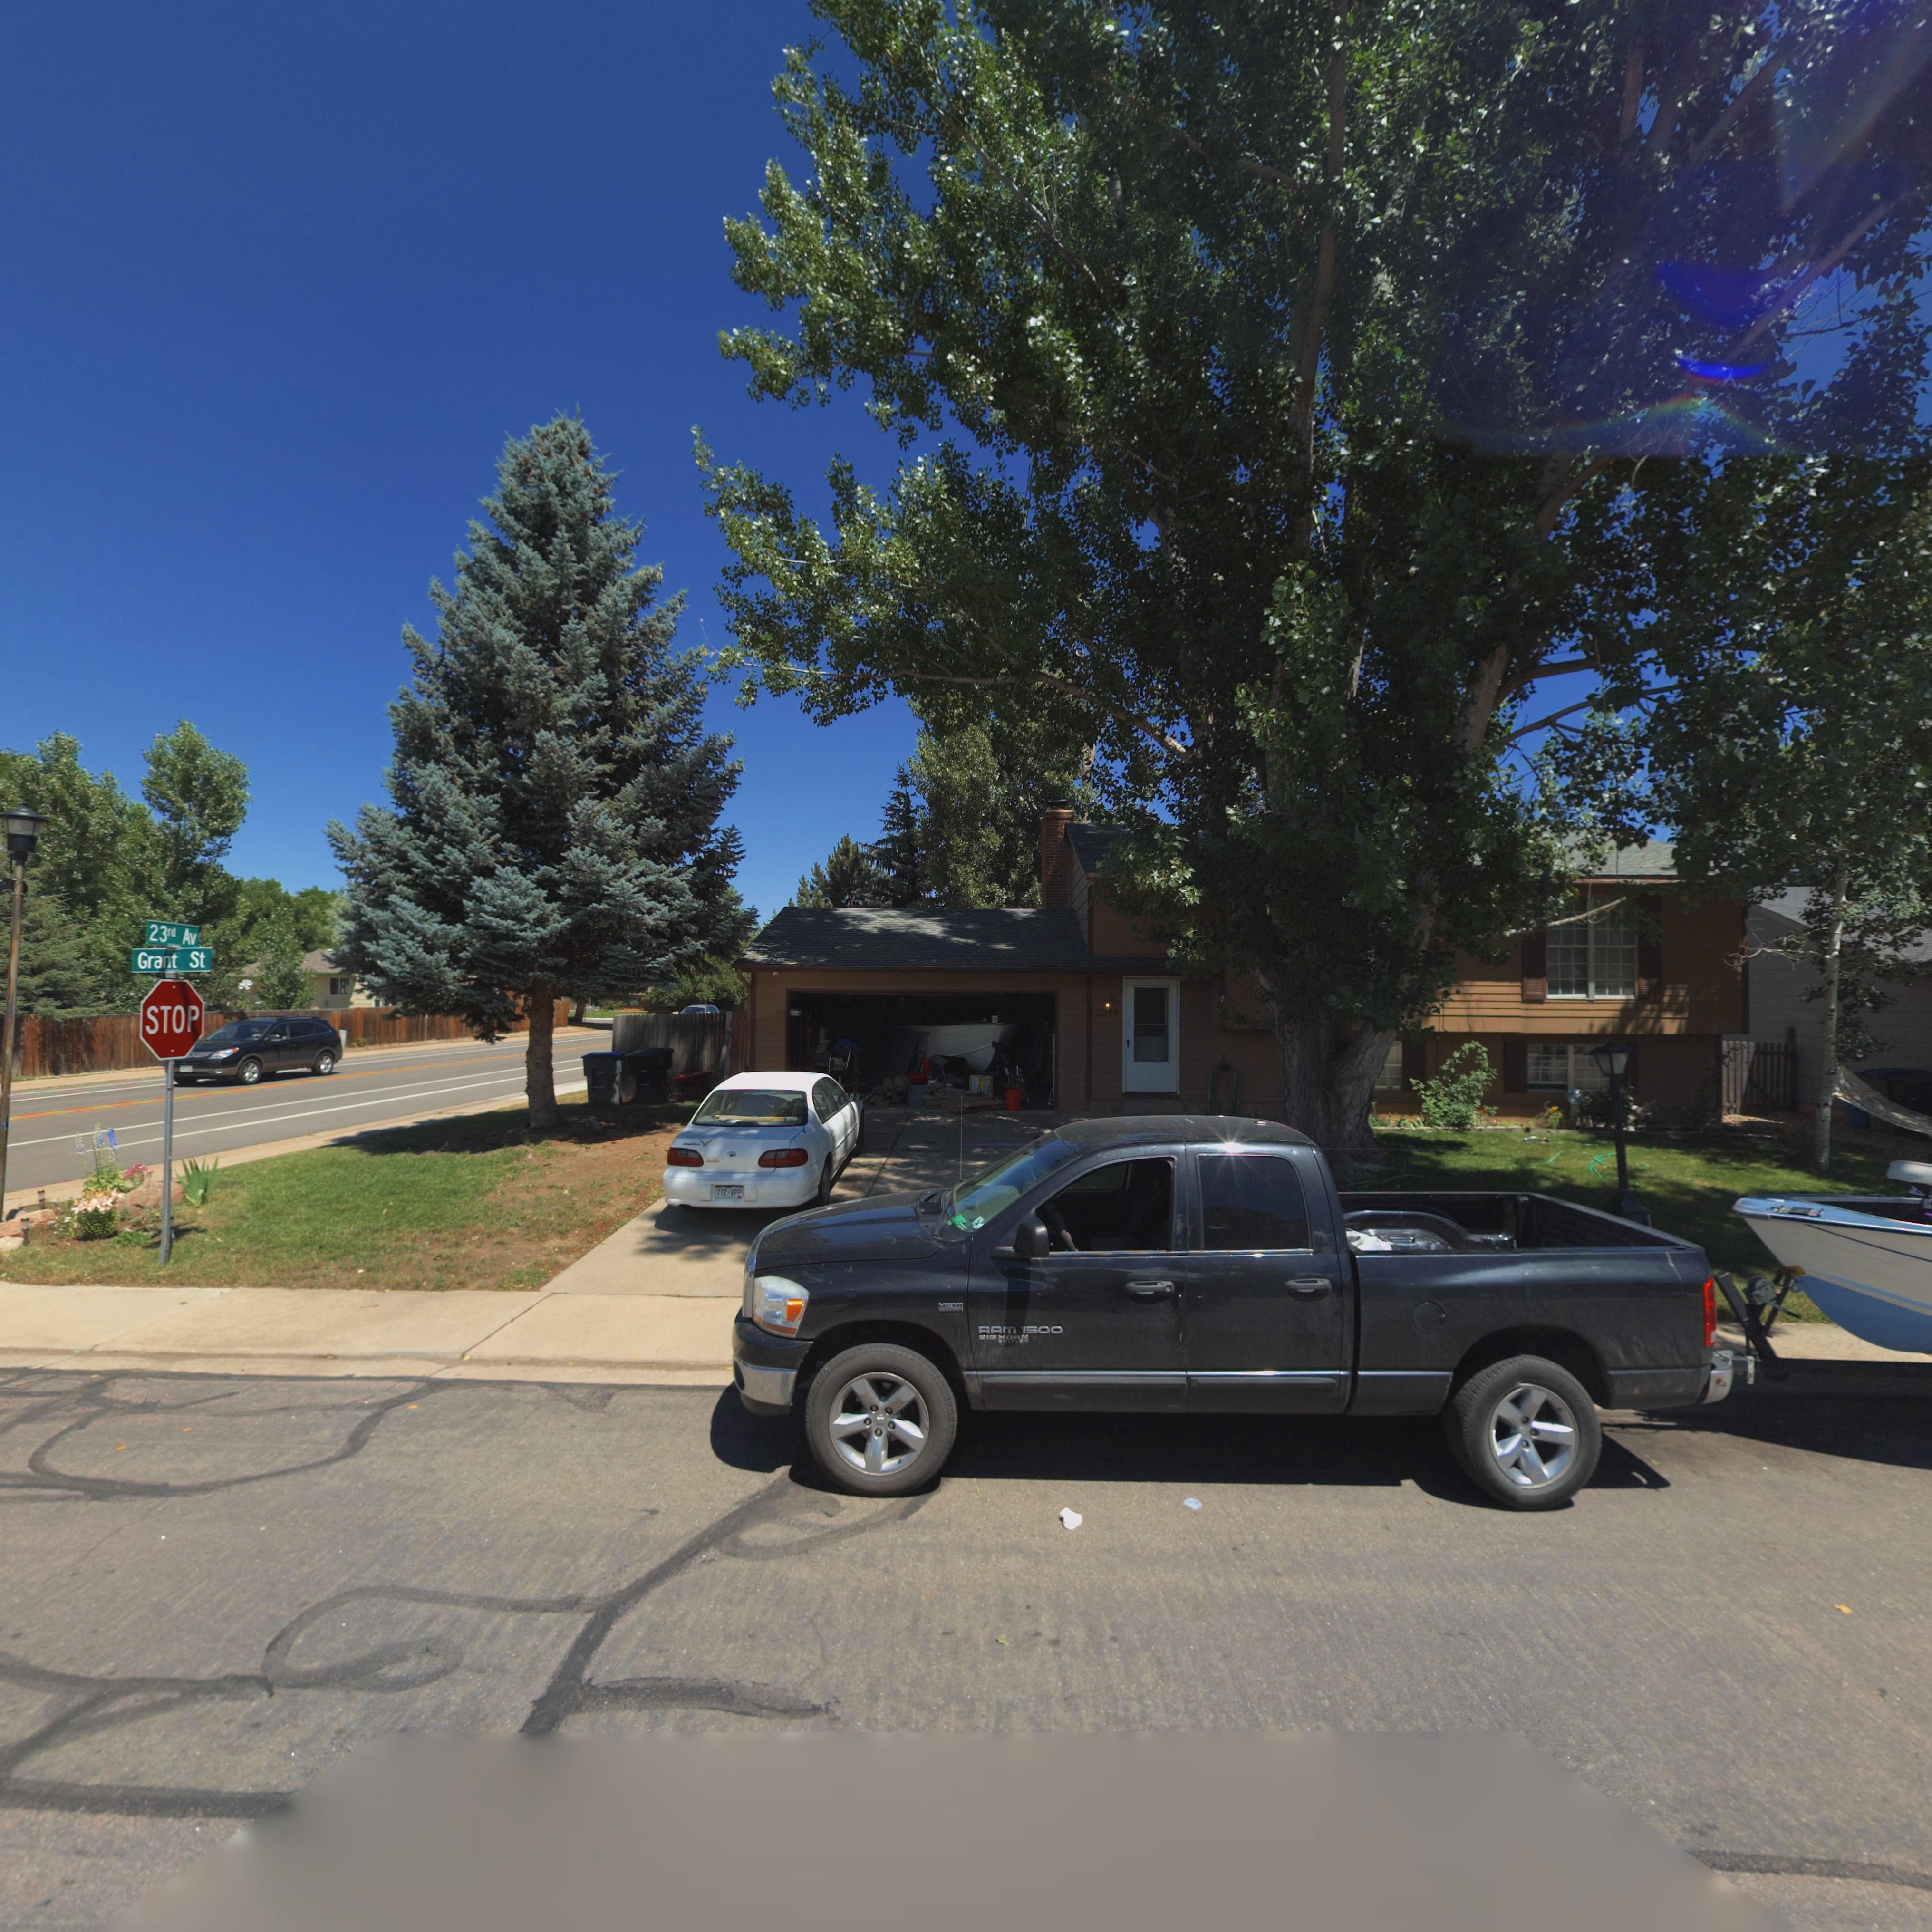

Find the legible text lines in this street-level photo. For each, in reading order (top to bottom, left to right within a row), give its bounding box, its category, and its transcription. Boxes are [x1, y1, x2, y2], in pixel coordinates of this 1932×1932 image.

[148, 923, 197, 946] StreetName: 23rd Av
[136, 950, 207, 969] StreetName: Grant St
[1094, 1008, 1118, 1017] StreetNumber: 2244